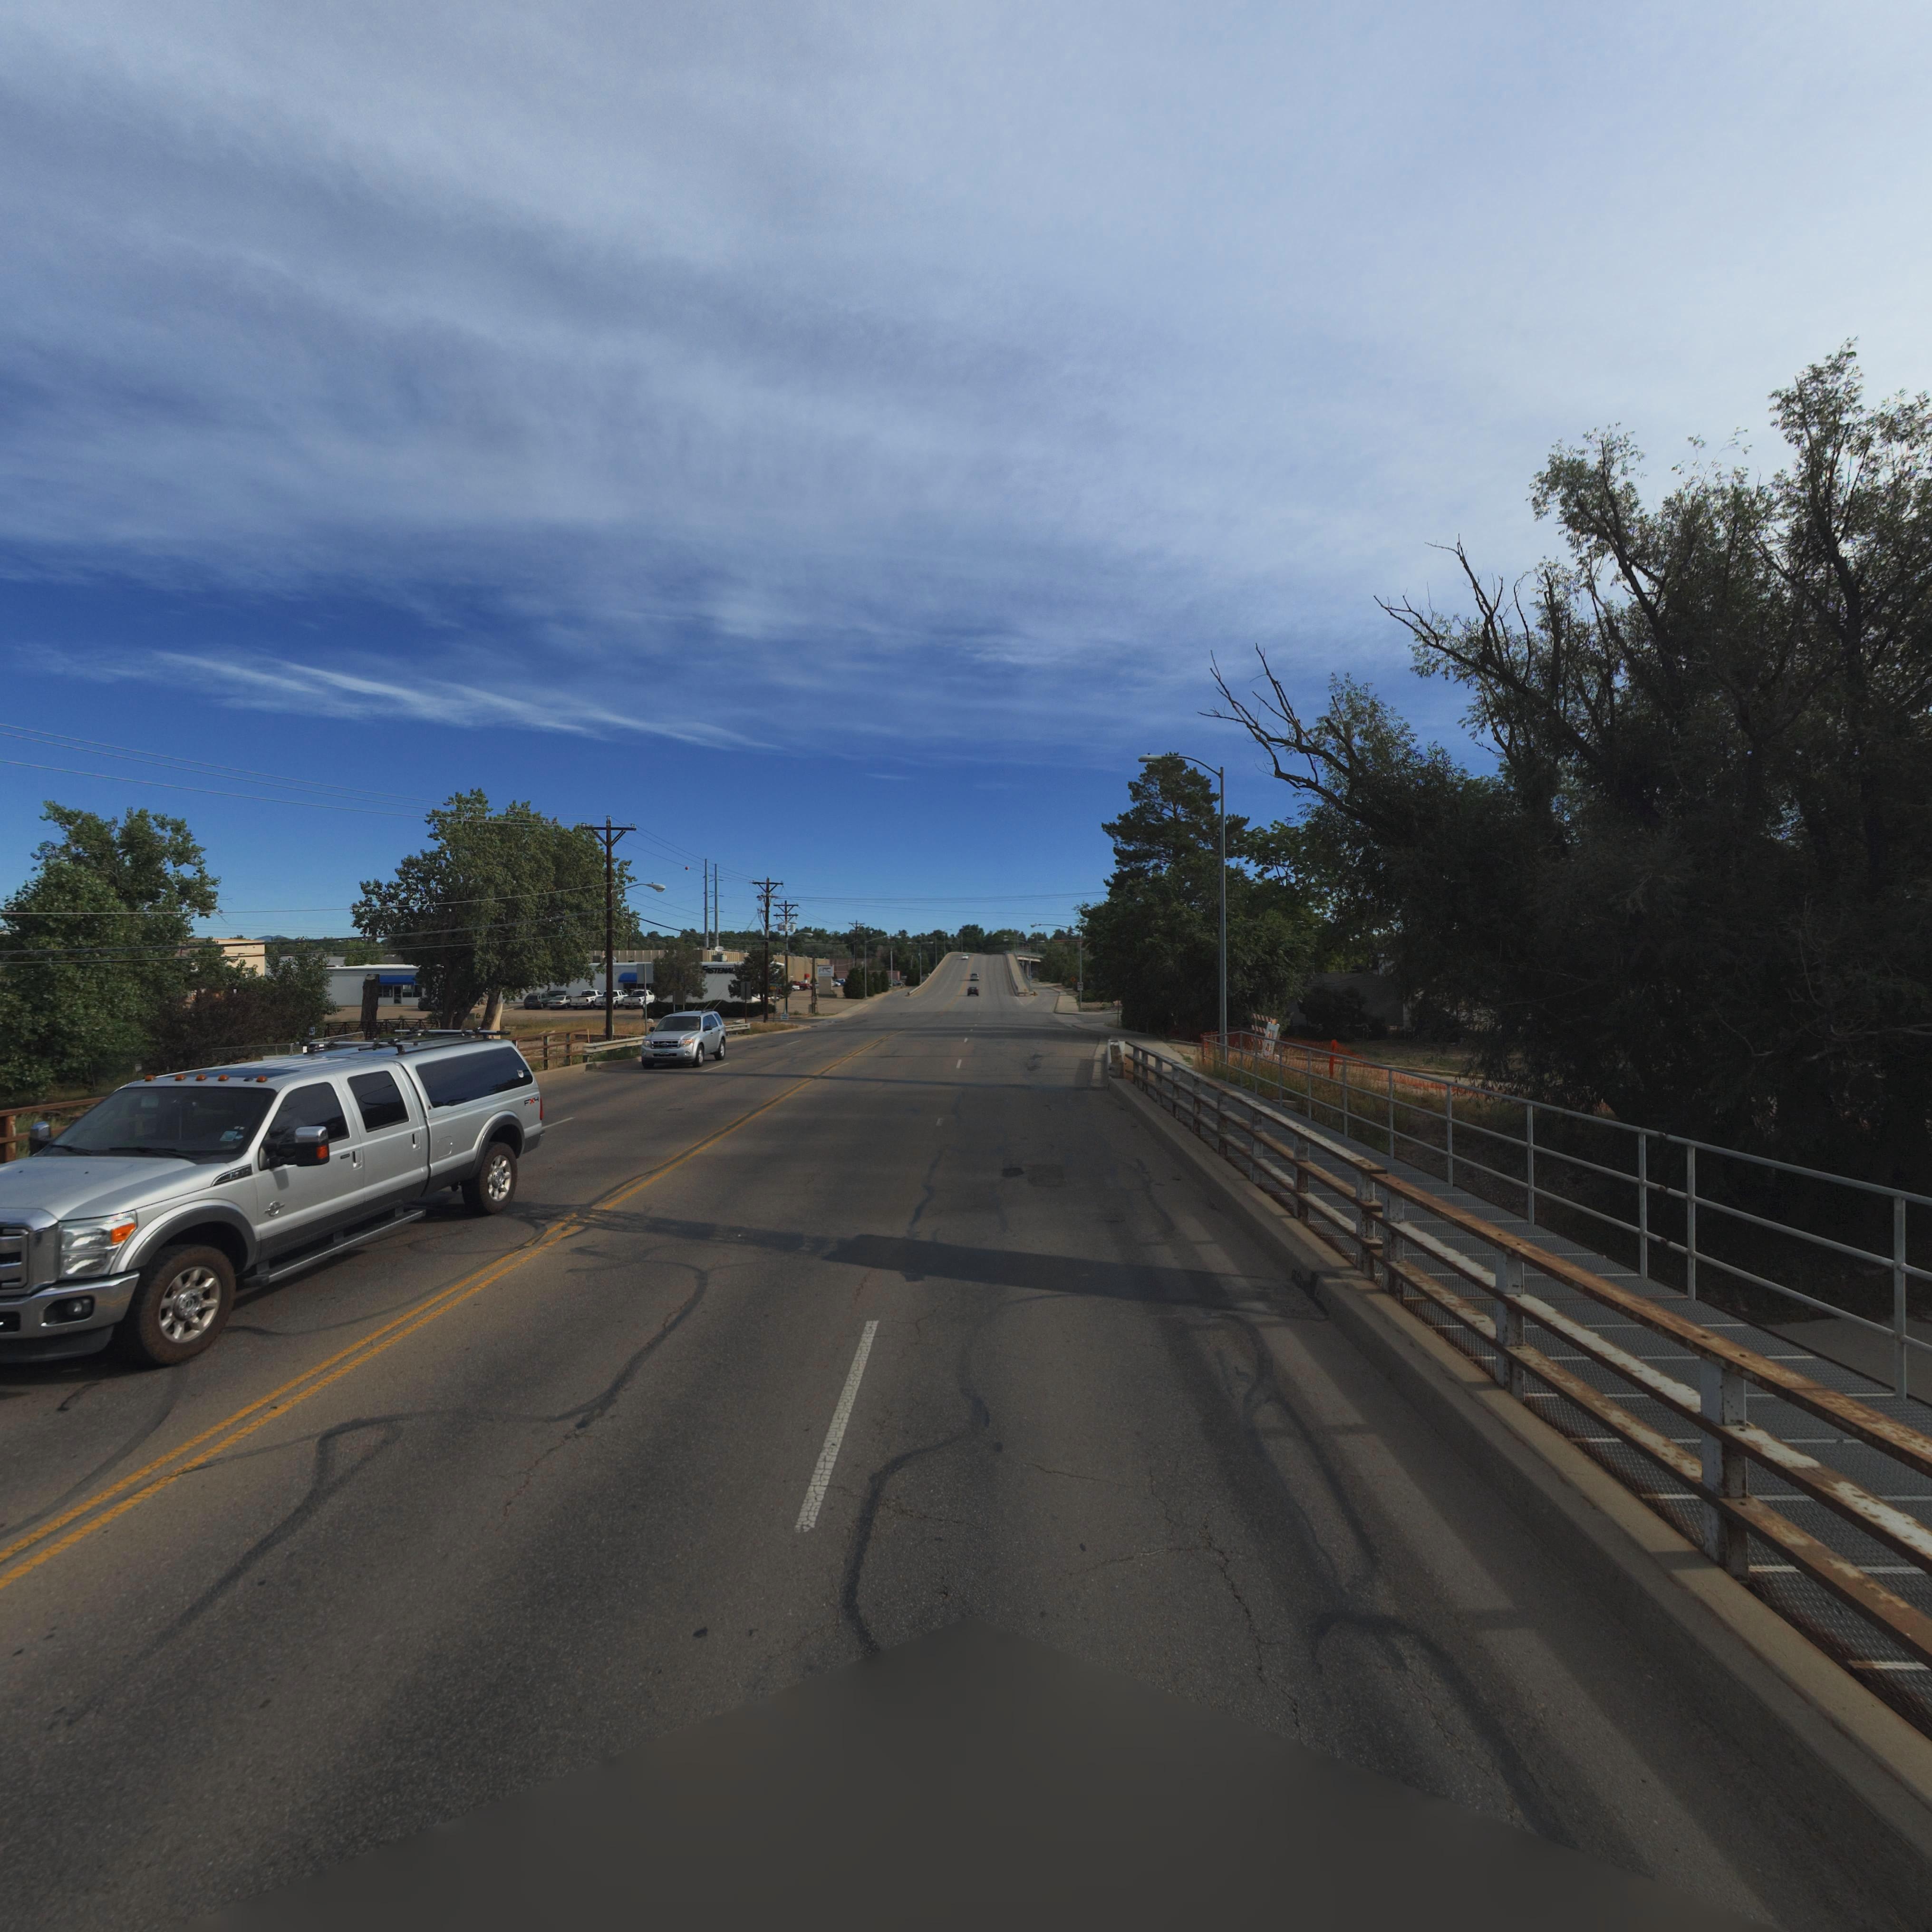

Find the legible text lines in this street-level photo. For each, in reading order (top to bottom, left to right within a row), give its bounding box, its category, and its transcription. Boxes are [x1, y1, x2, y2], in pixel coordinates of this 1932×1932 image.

[699, 965, 734, 974] BusinessName: **STENAL
[818, 967, 831, 972] BusinessName: ArC